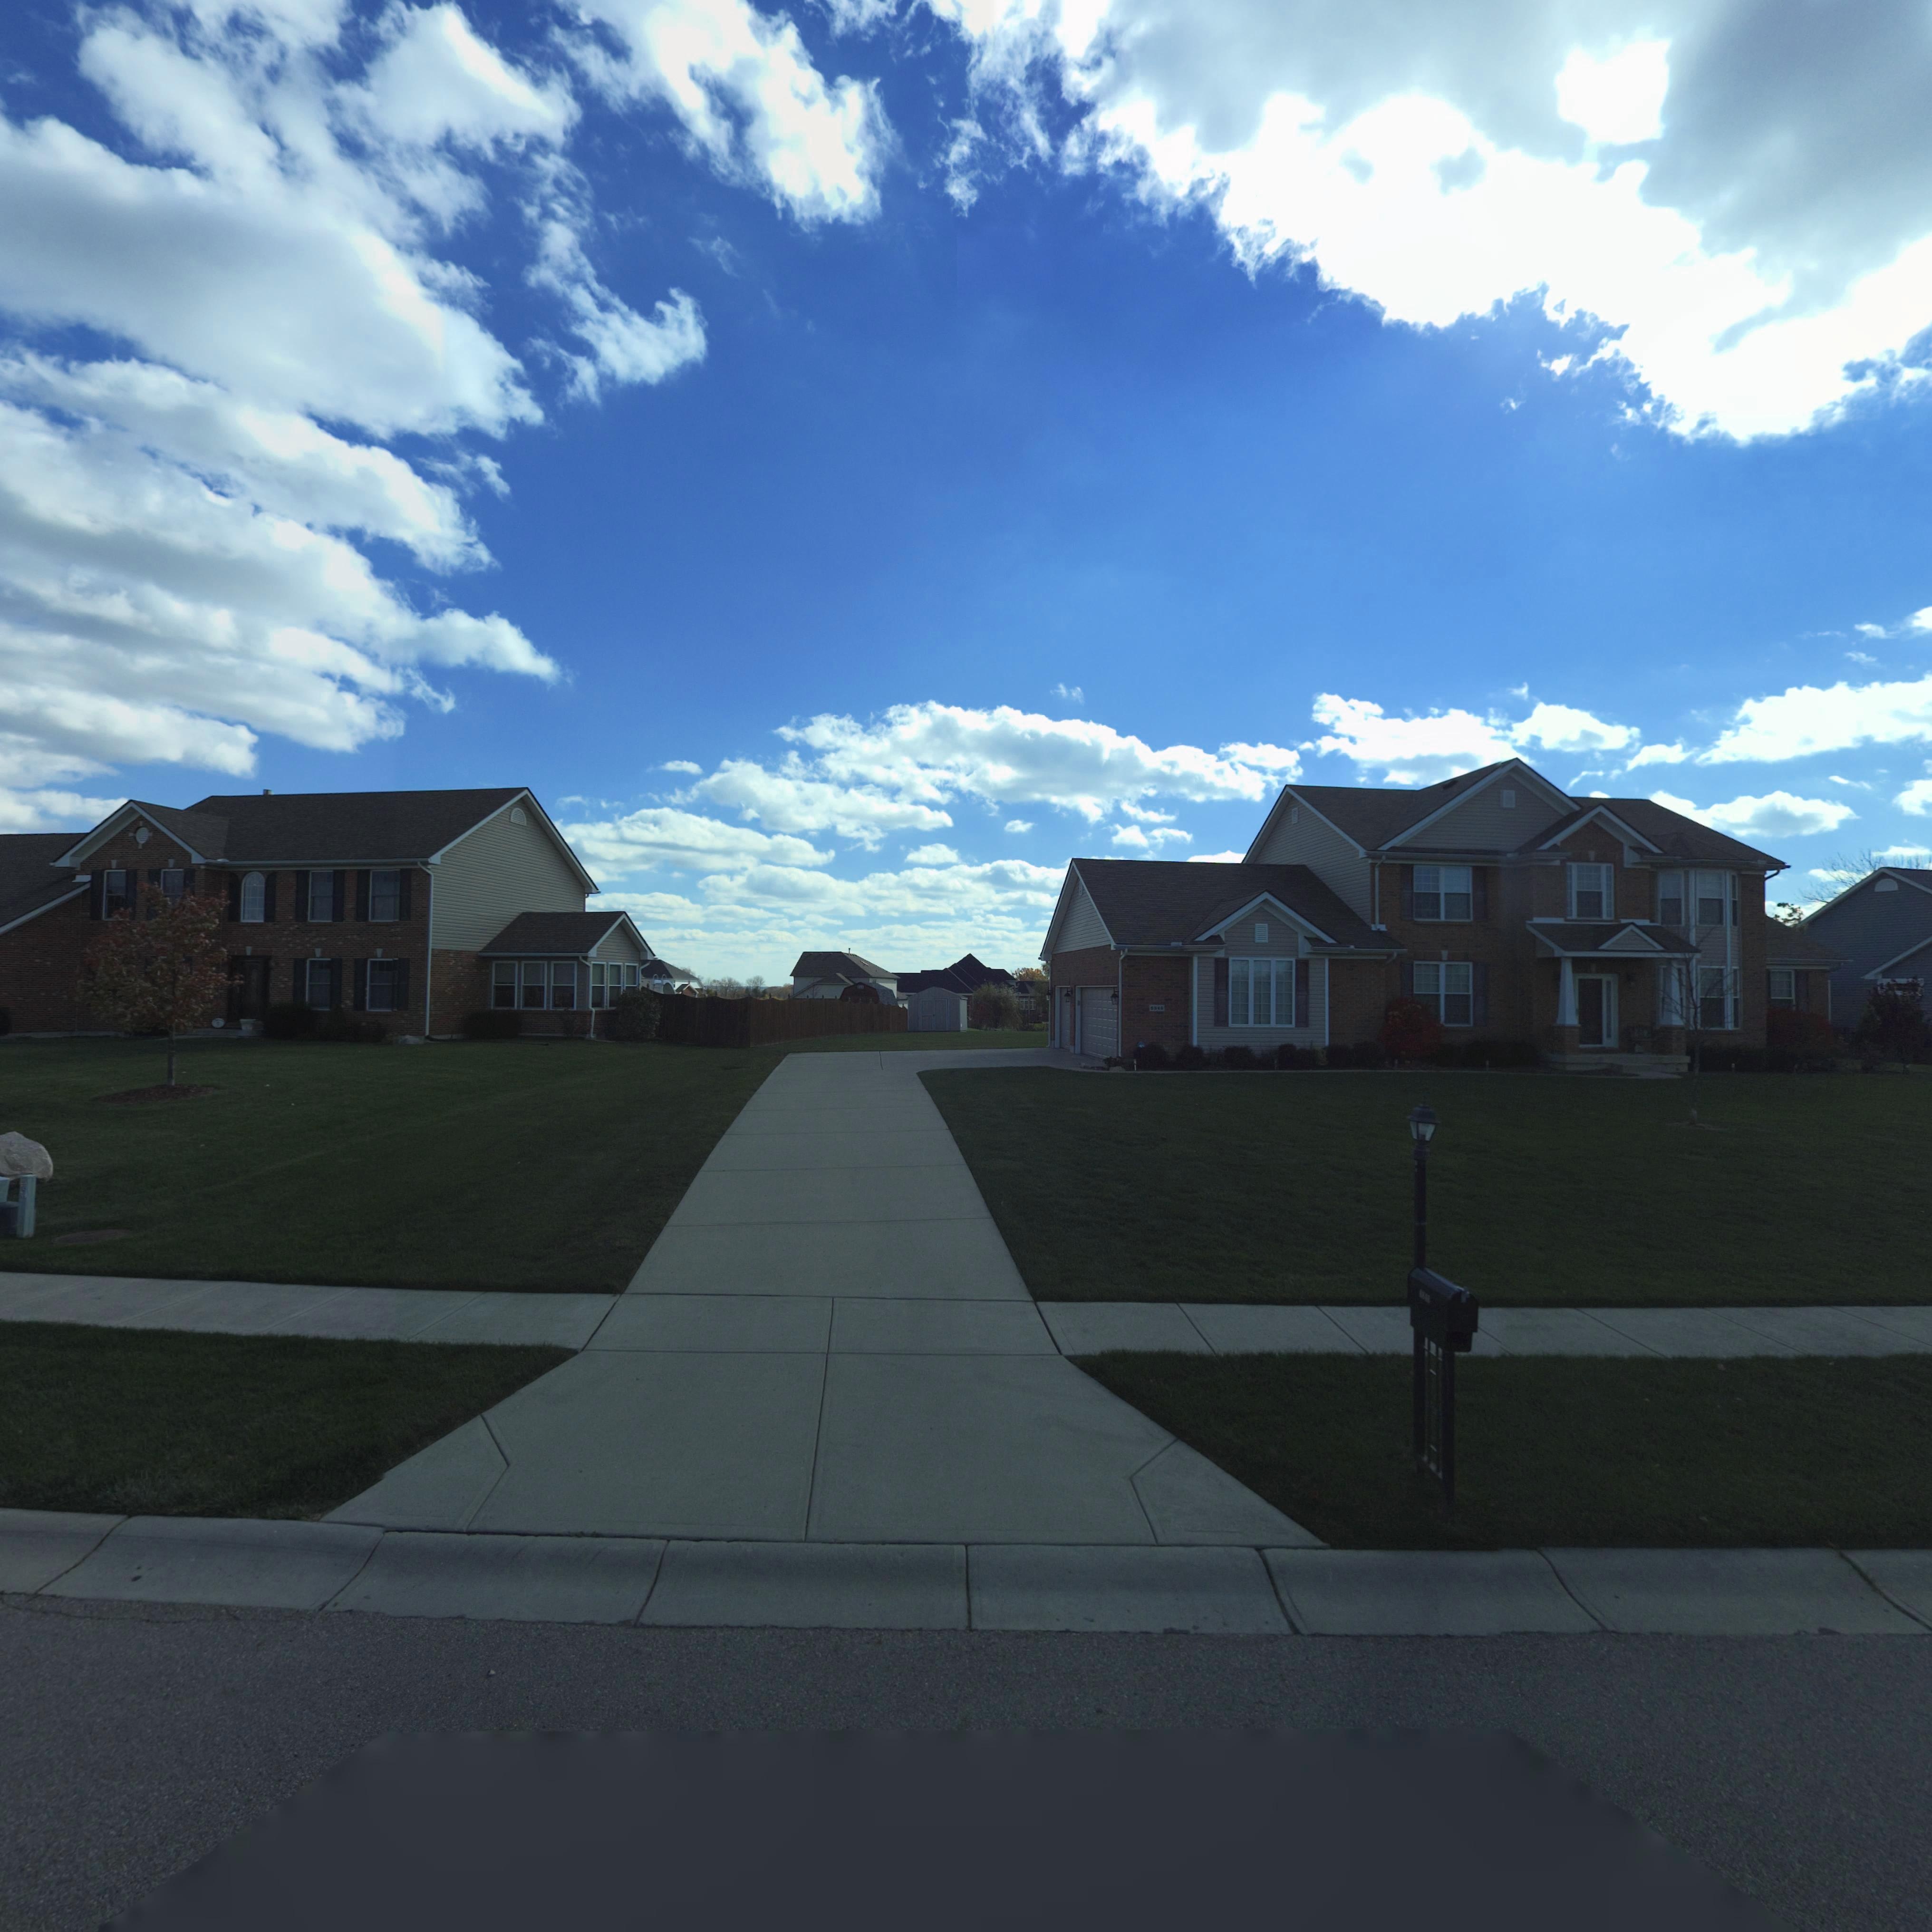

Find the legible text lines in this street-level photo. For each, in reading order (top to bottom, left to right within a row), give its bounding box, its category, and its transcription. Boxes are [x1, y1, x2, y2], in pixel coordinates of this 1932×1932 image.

[1150, 1005, 1164, 1011] StreetNumber: 554*